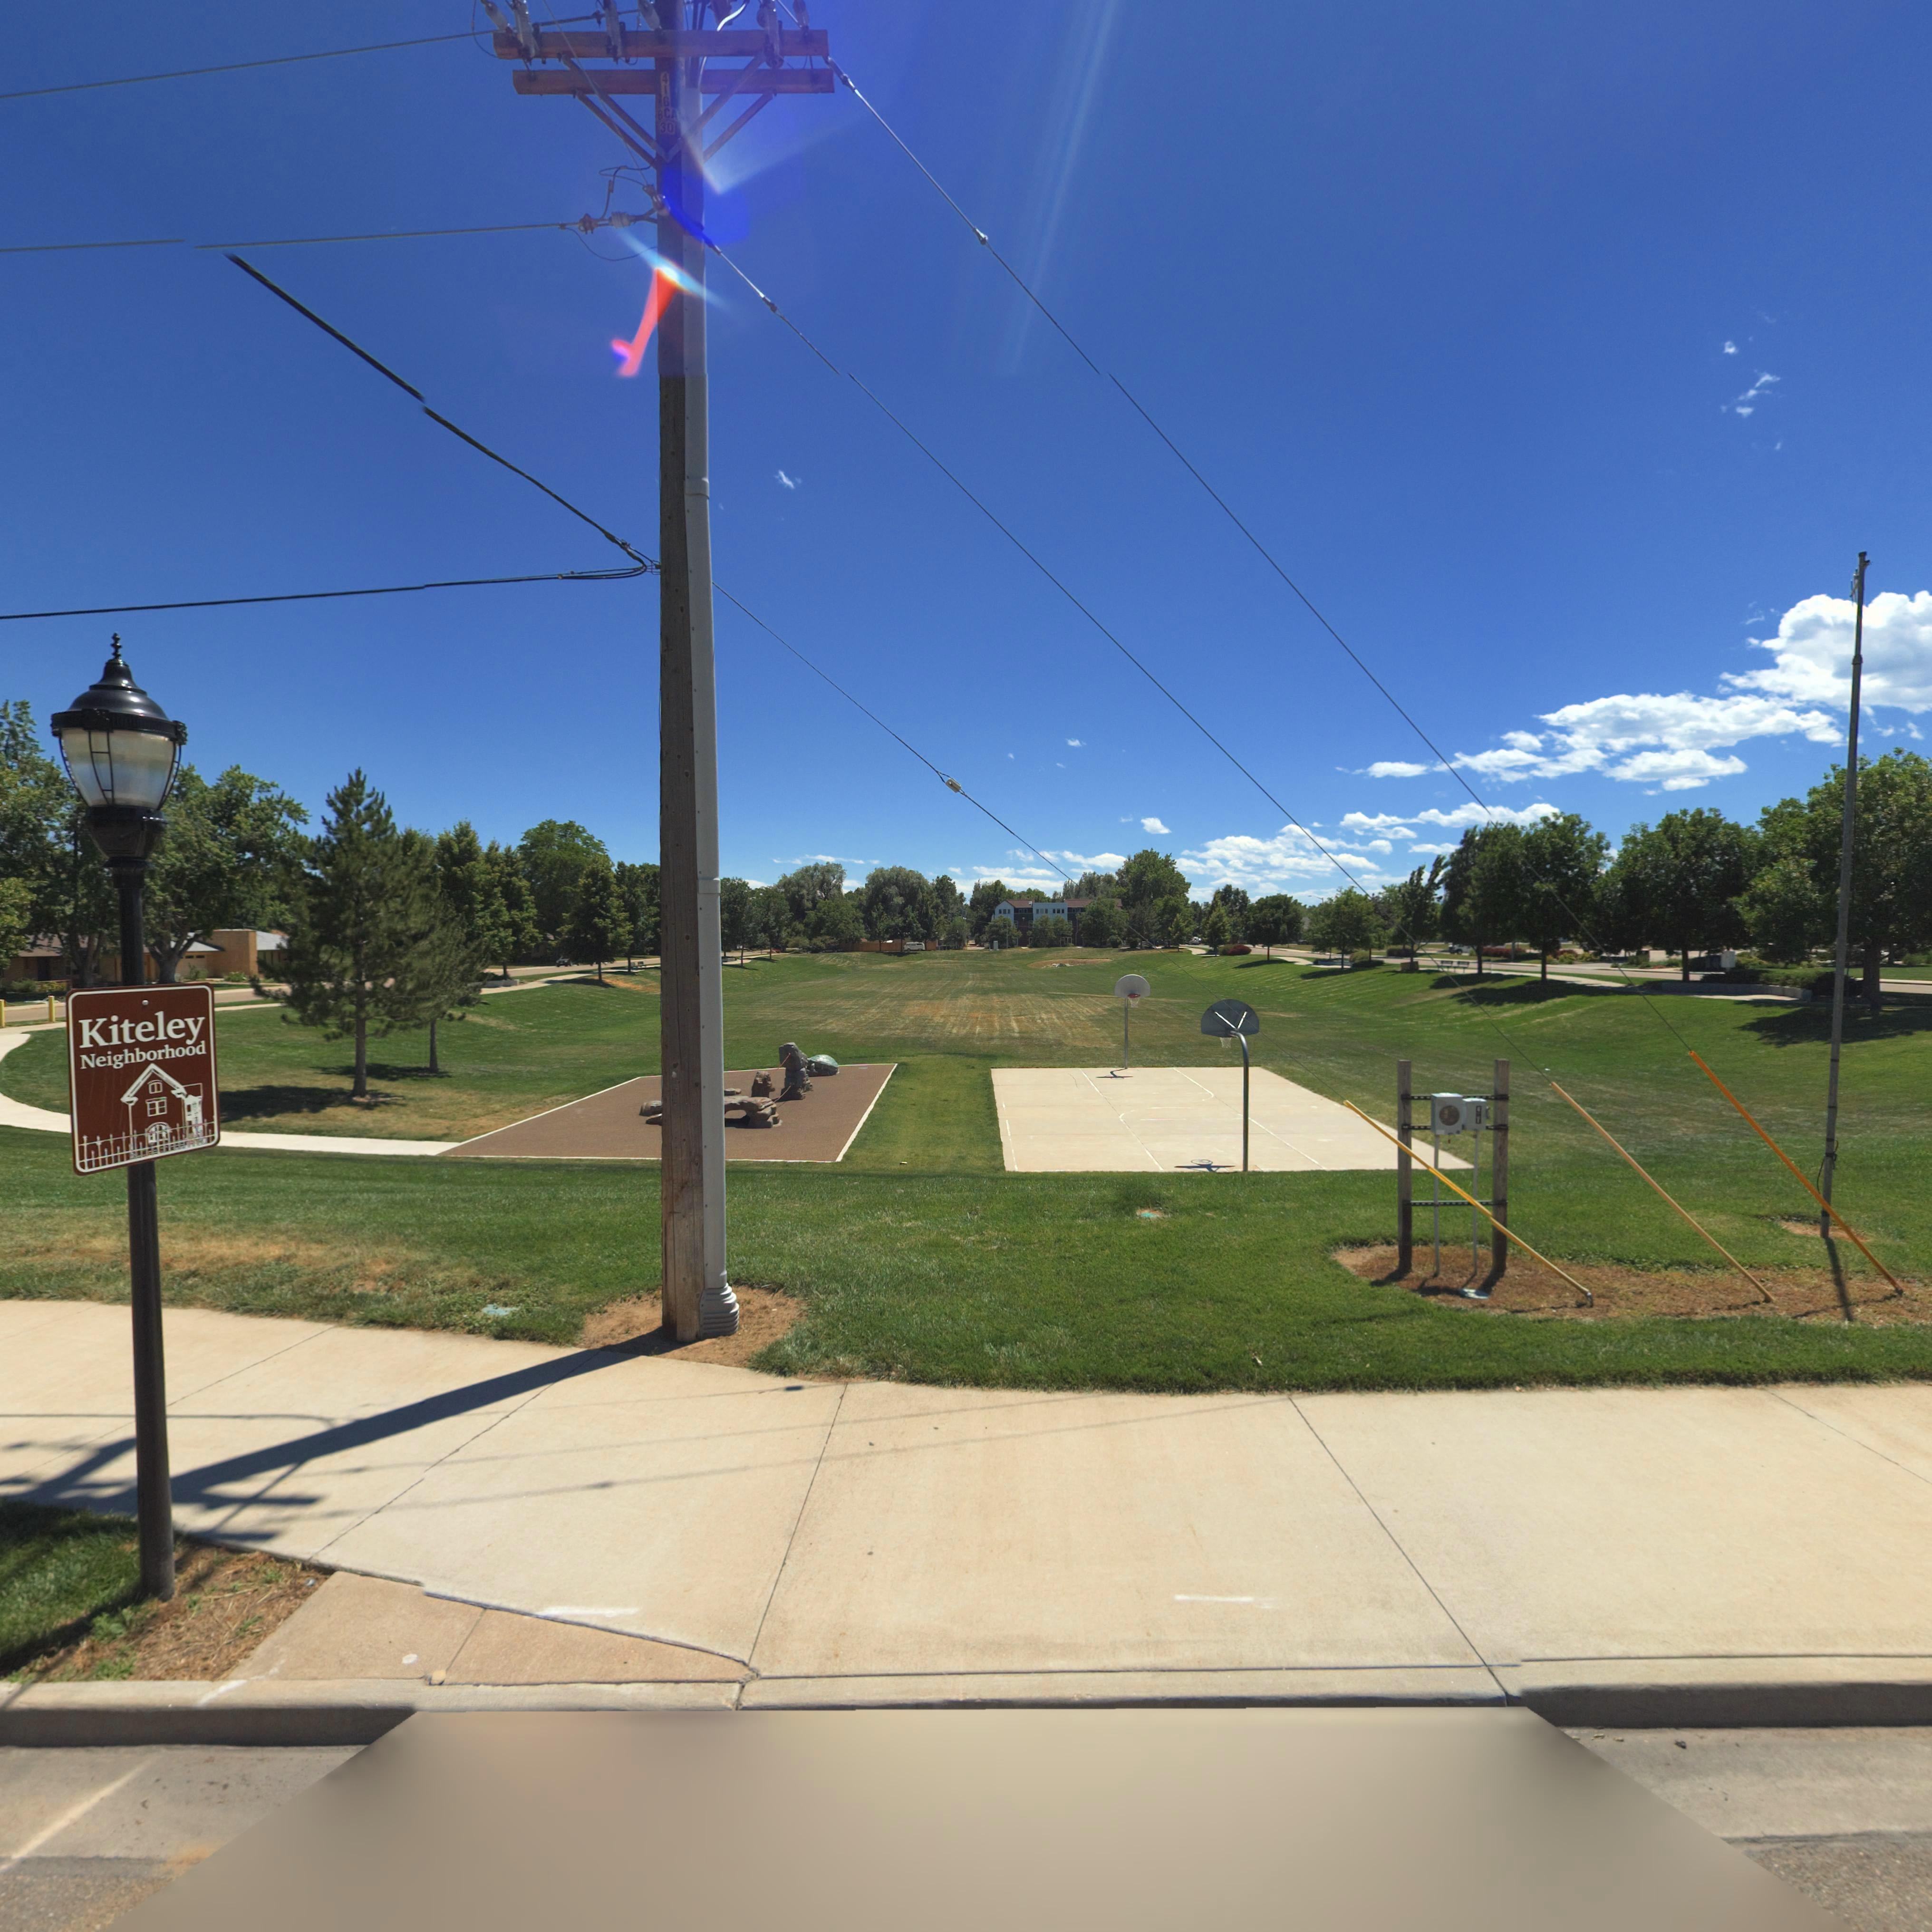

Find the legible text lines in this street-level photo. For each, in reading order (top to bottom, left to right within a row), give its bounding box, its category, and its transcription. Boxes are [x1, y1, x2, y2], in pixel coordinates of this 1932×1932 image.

[79, 1041, 205, 1069] BusinessName: Neighborhood